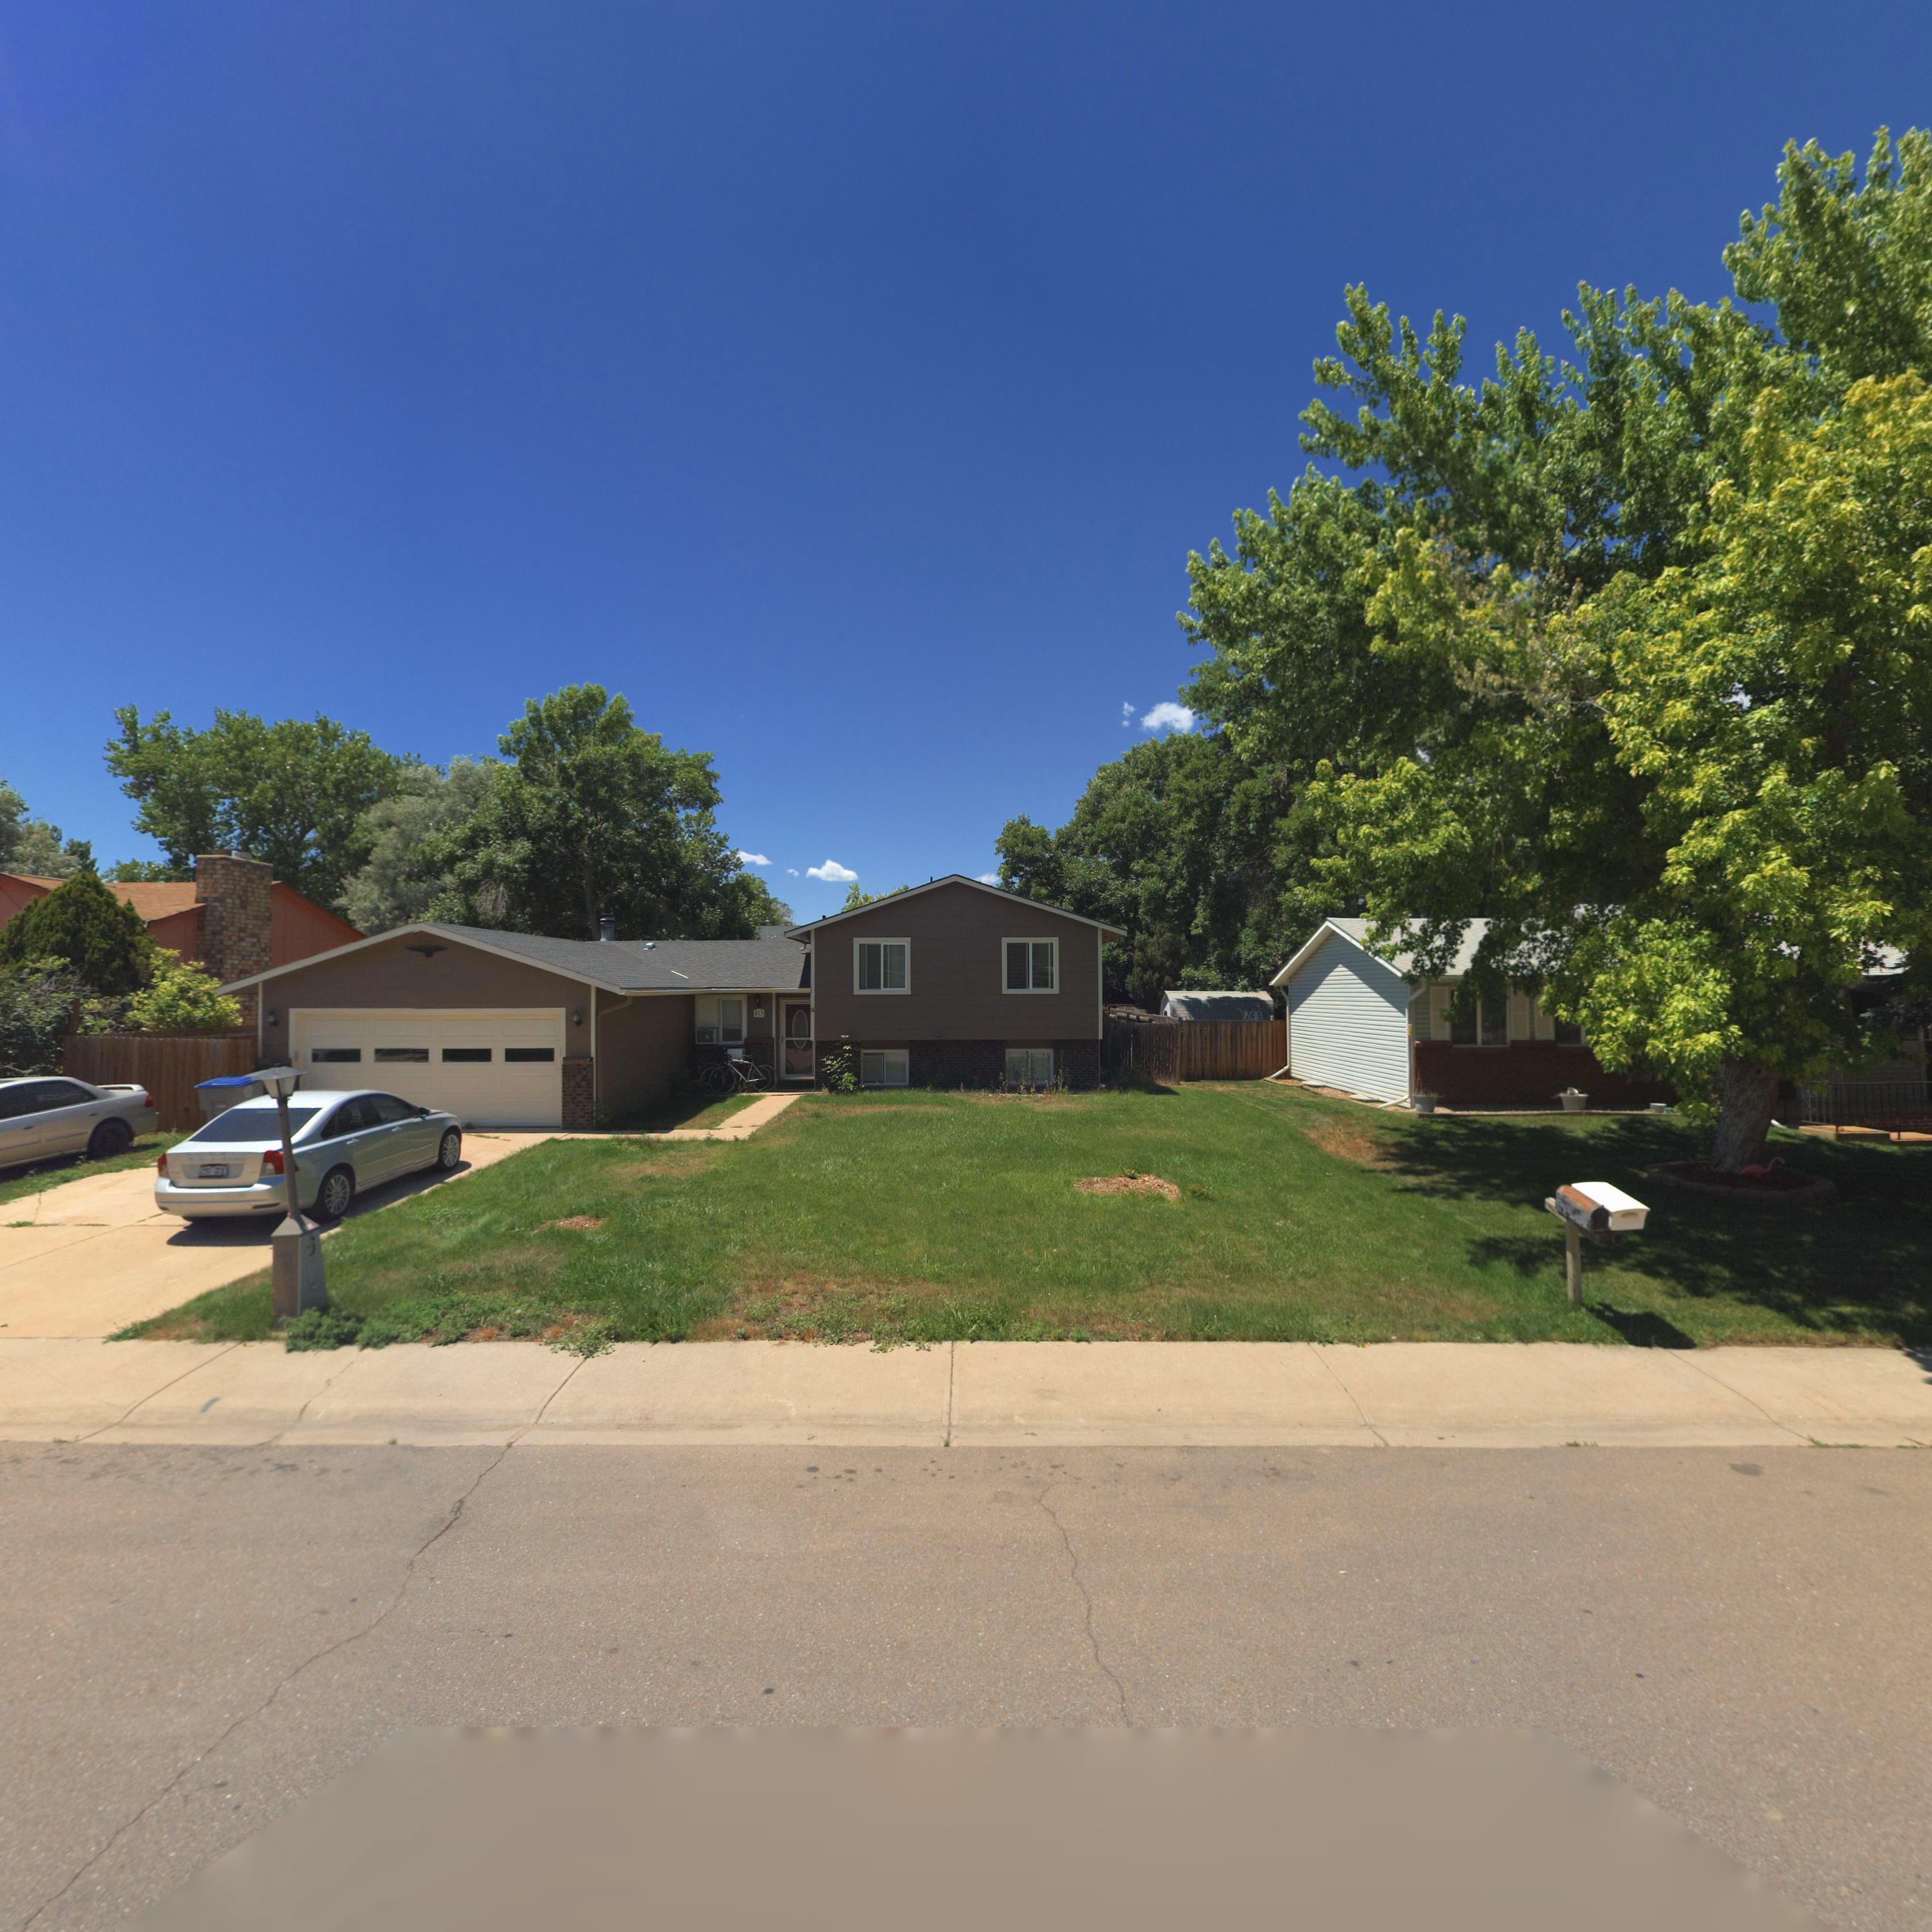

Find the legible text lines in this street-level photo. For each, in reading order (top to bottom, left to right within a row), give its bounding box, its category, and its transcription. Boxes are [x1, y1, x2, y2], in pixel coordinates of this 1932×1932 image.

[754, 1011, 763, 1016] StreetNumber: 81*